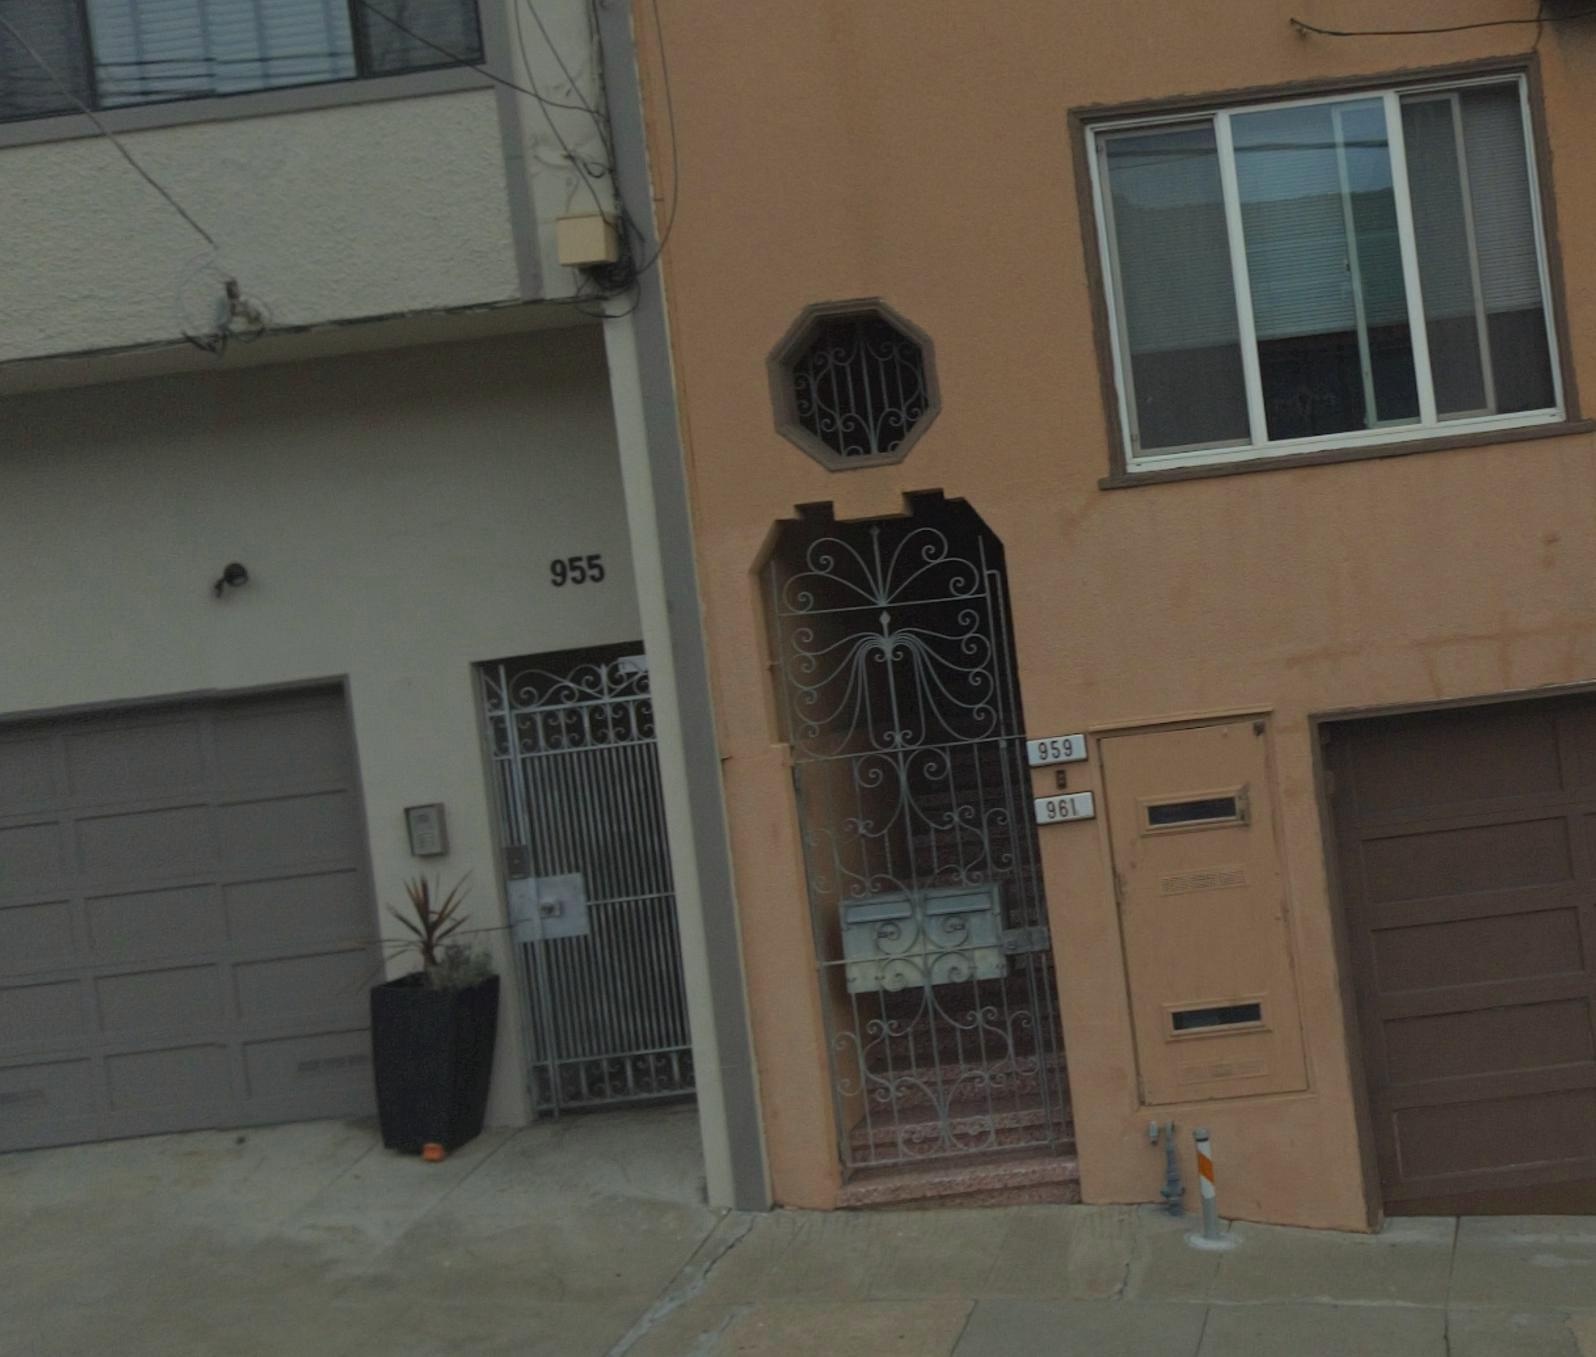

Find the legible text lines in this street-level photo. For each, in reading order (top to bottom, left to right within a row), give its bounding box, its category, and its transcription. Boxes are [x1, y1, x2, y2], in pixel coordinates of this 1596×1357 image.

[549, 552, 606, 588] StreetNumber: 955
[1036, 737, 1074, 761] StreetNumber: 959
[1045, 796, 1079, 820] StreetNumber: 961